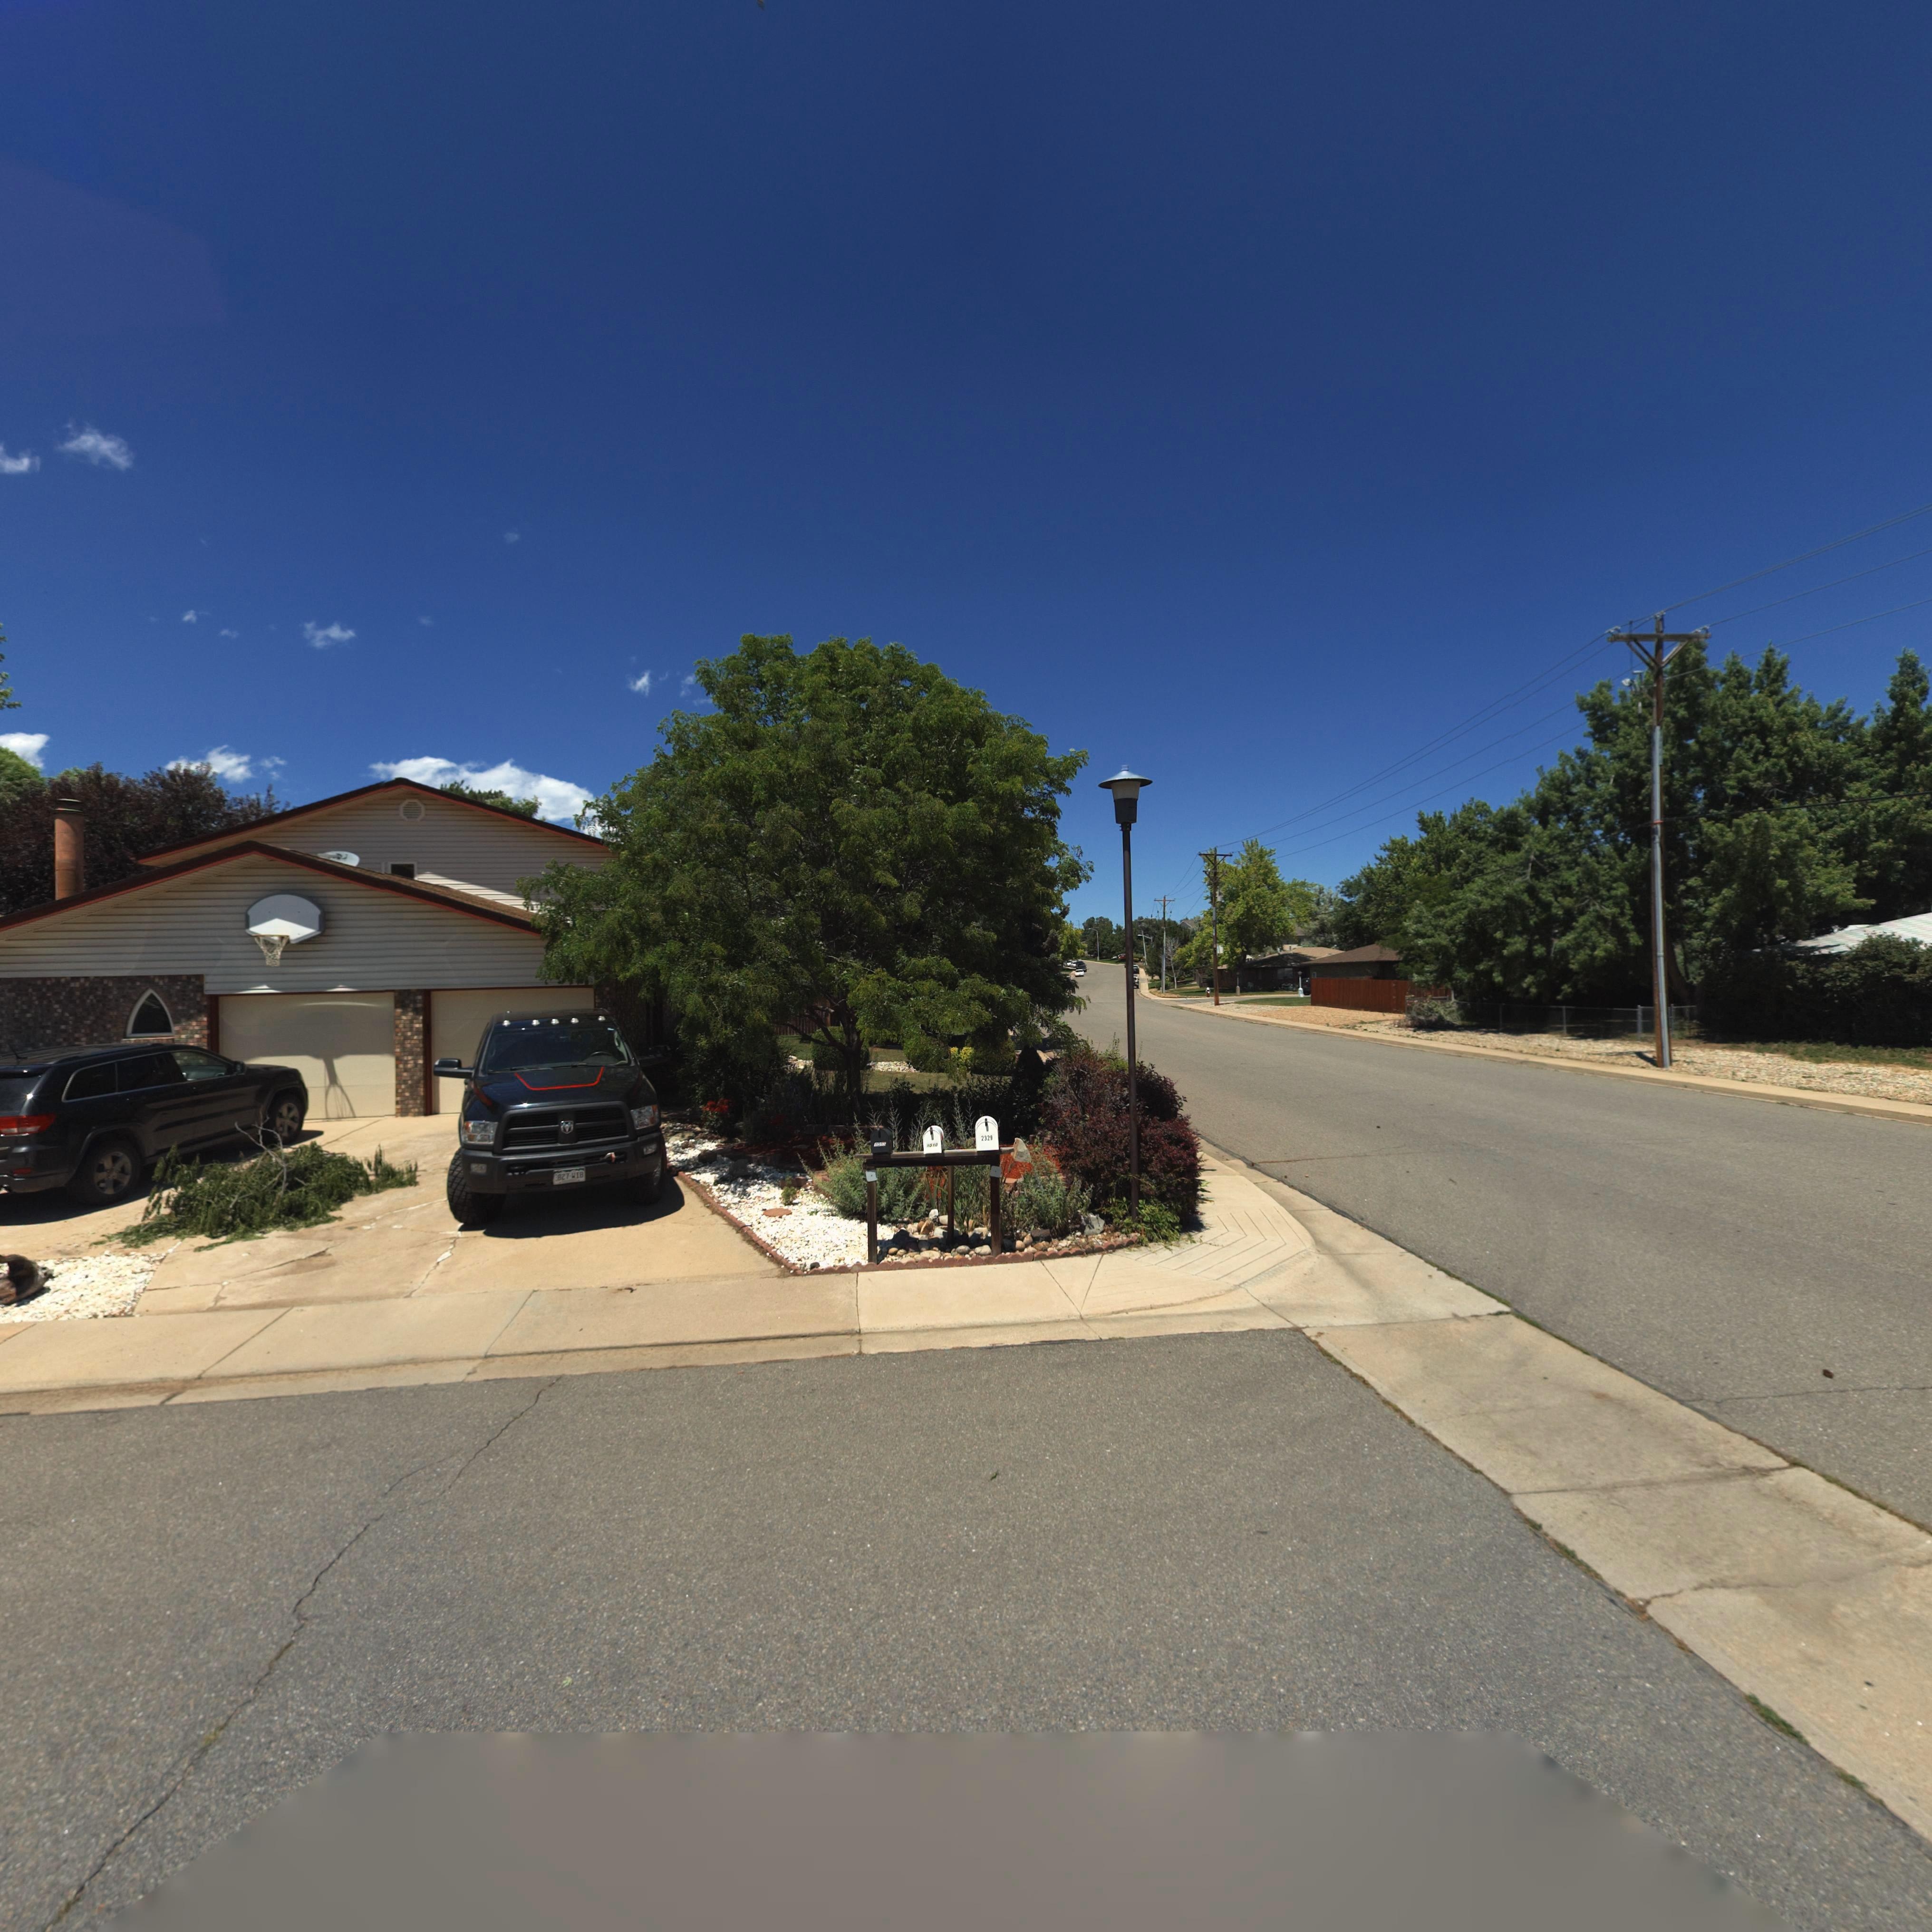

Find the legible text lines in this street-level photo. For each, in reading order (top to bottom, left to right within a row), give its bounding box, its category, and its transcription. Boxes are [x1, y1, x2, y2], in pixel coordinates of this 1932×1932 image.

[980, 1135, 993, 1141] StreetNumber: 2329
[875, 1141, 887, 1146] StreetNumber: 10**
[927, 1142, 938, 1147] StreetNumber: 1010